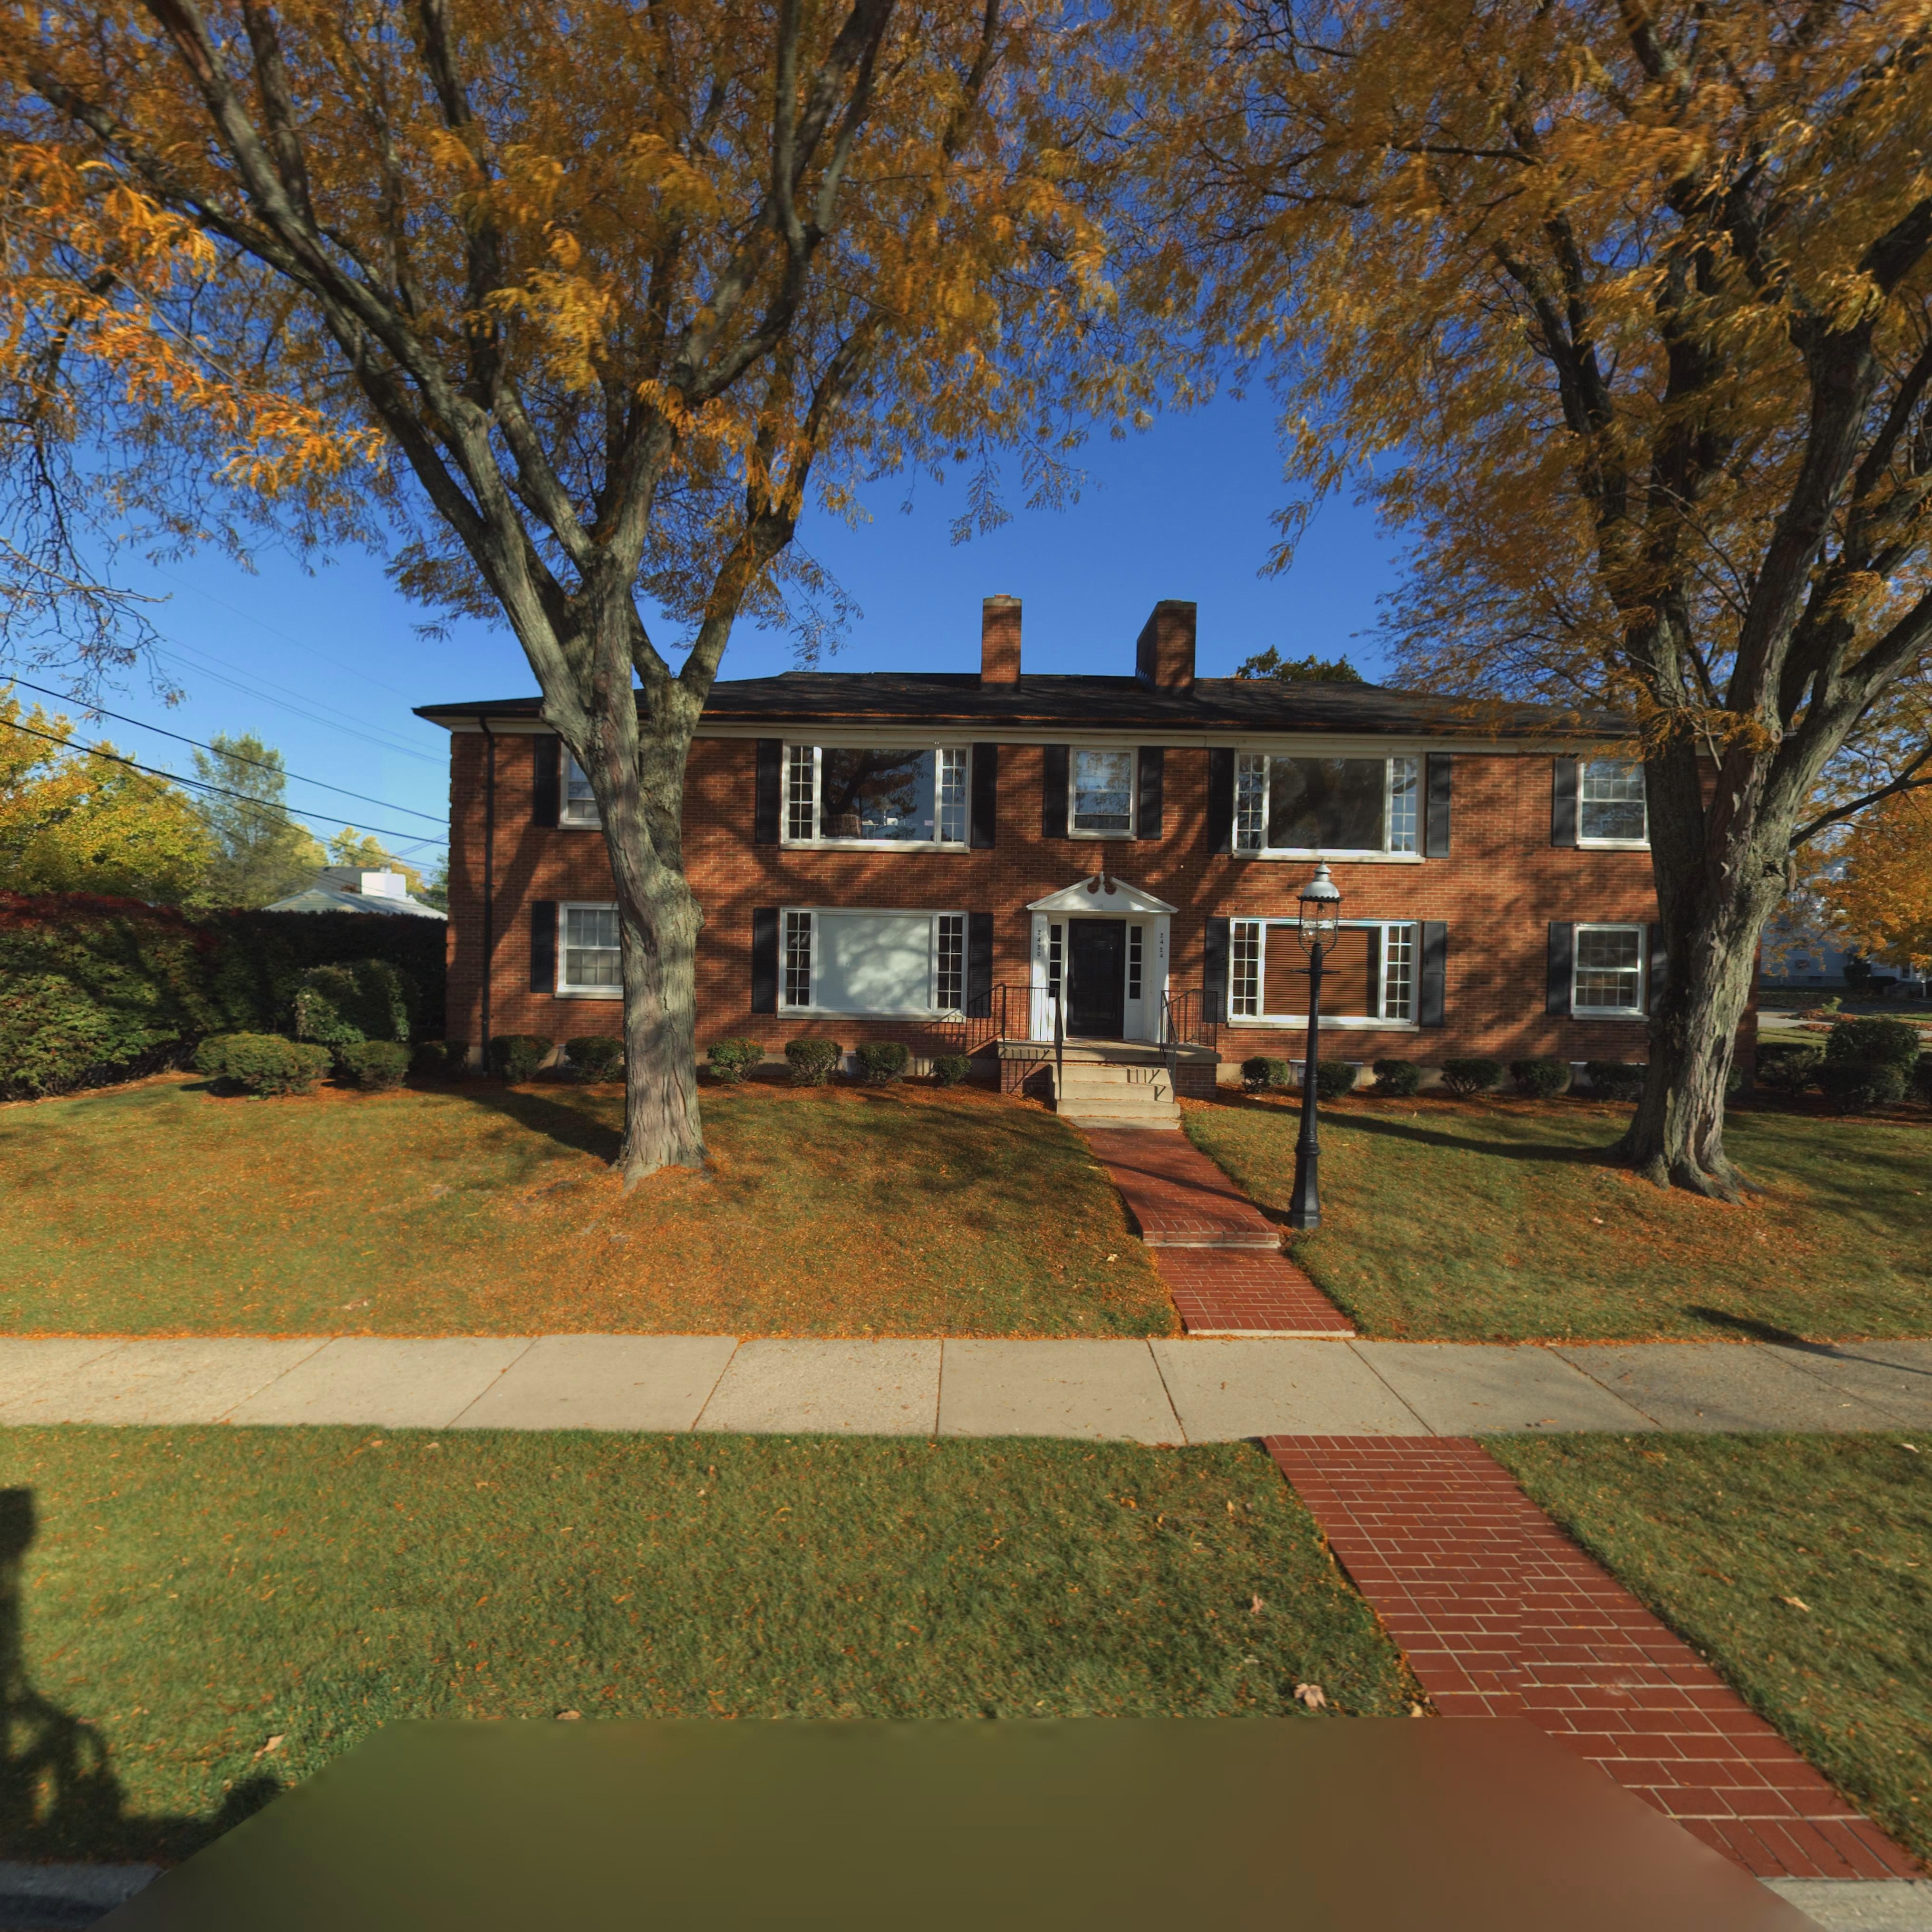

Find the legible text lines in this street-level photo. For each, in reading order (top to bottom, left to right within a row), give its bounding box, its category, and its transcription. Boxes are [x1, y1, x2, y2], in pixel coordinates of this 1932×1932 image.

[1036, 928, 1043, 958] StreetNumber: 2420
[1158, 931, 1165, 959] StreetNumber: 2424